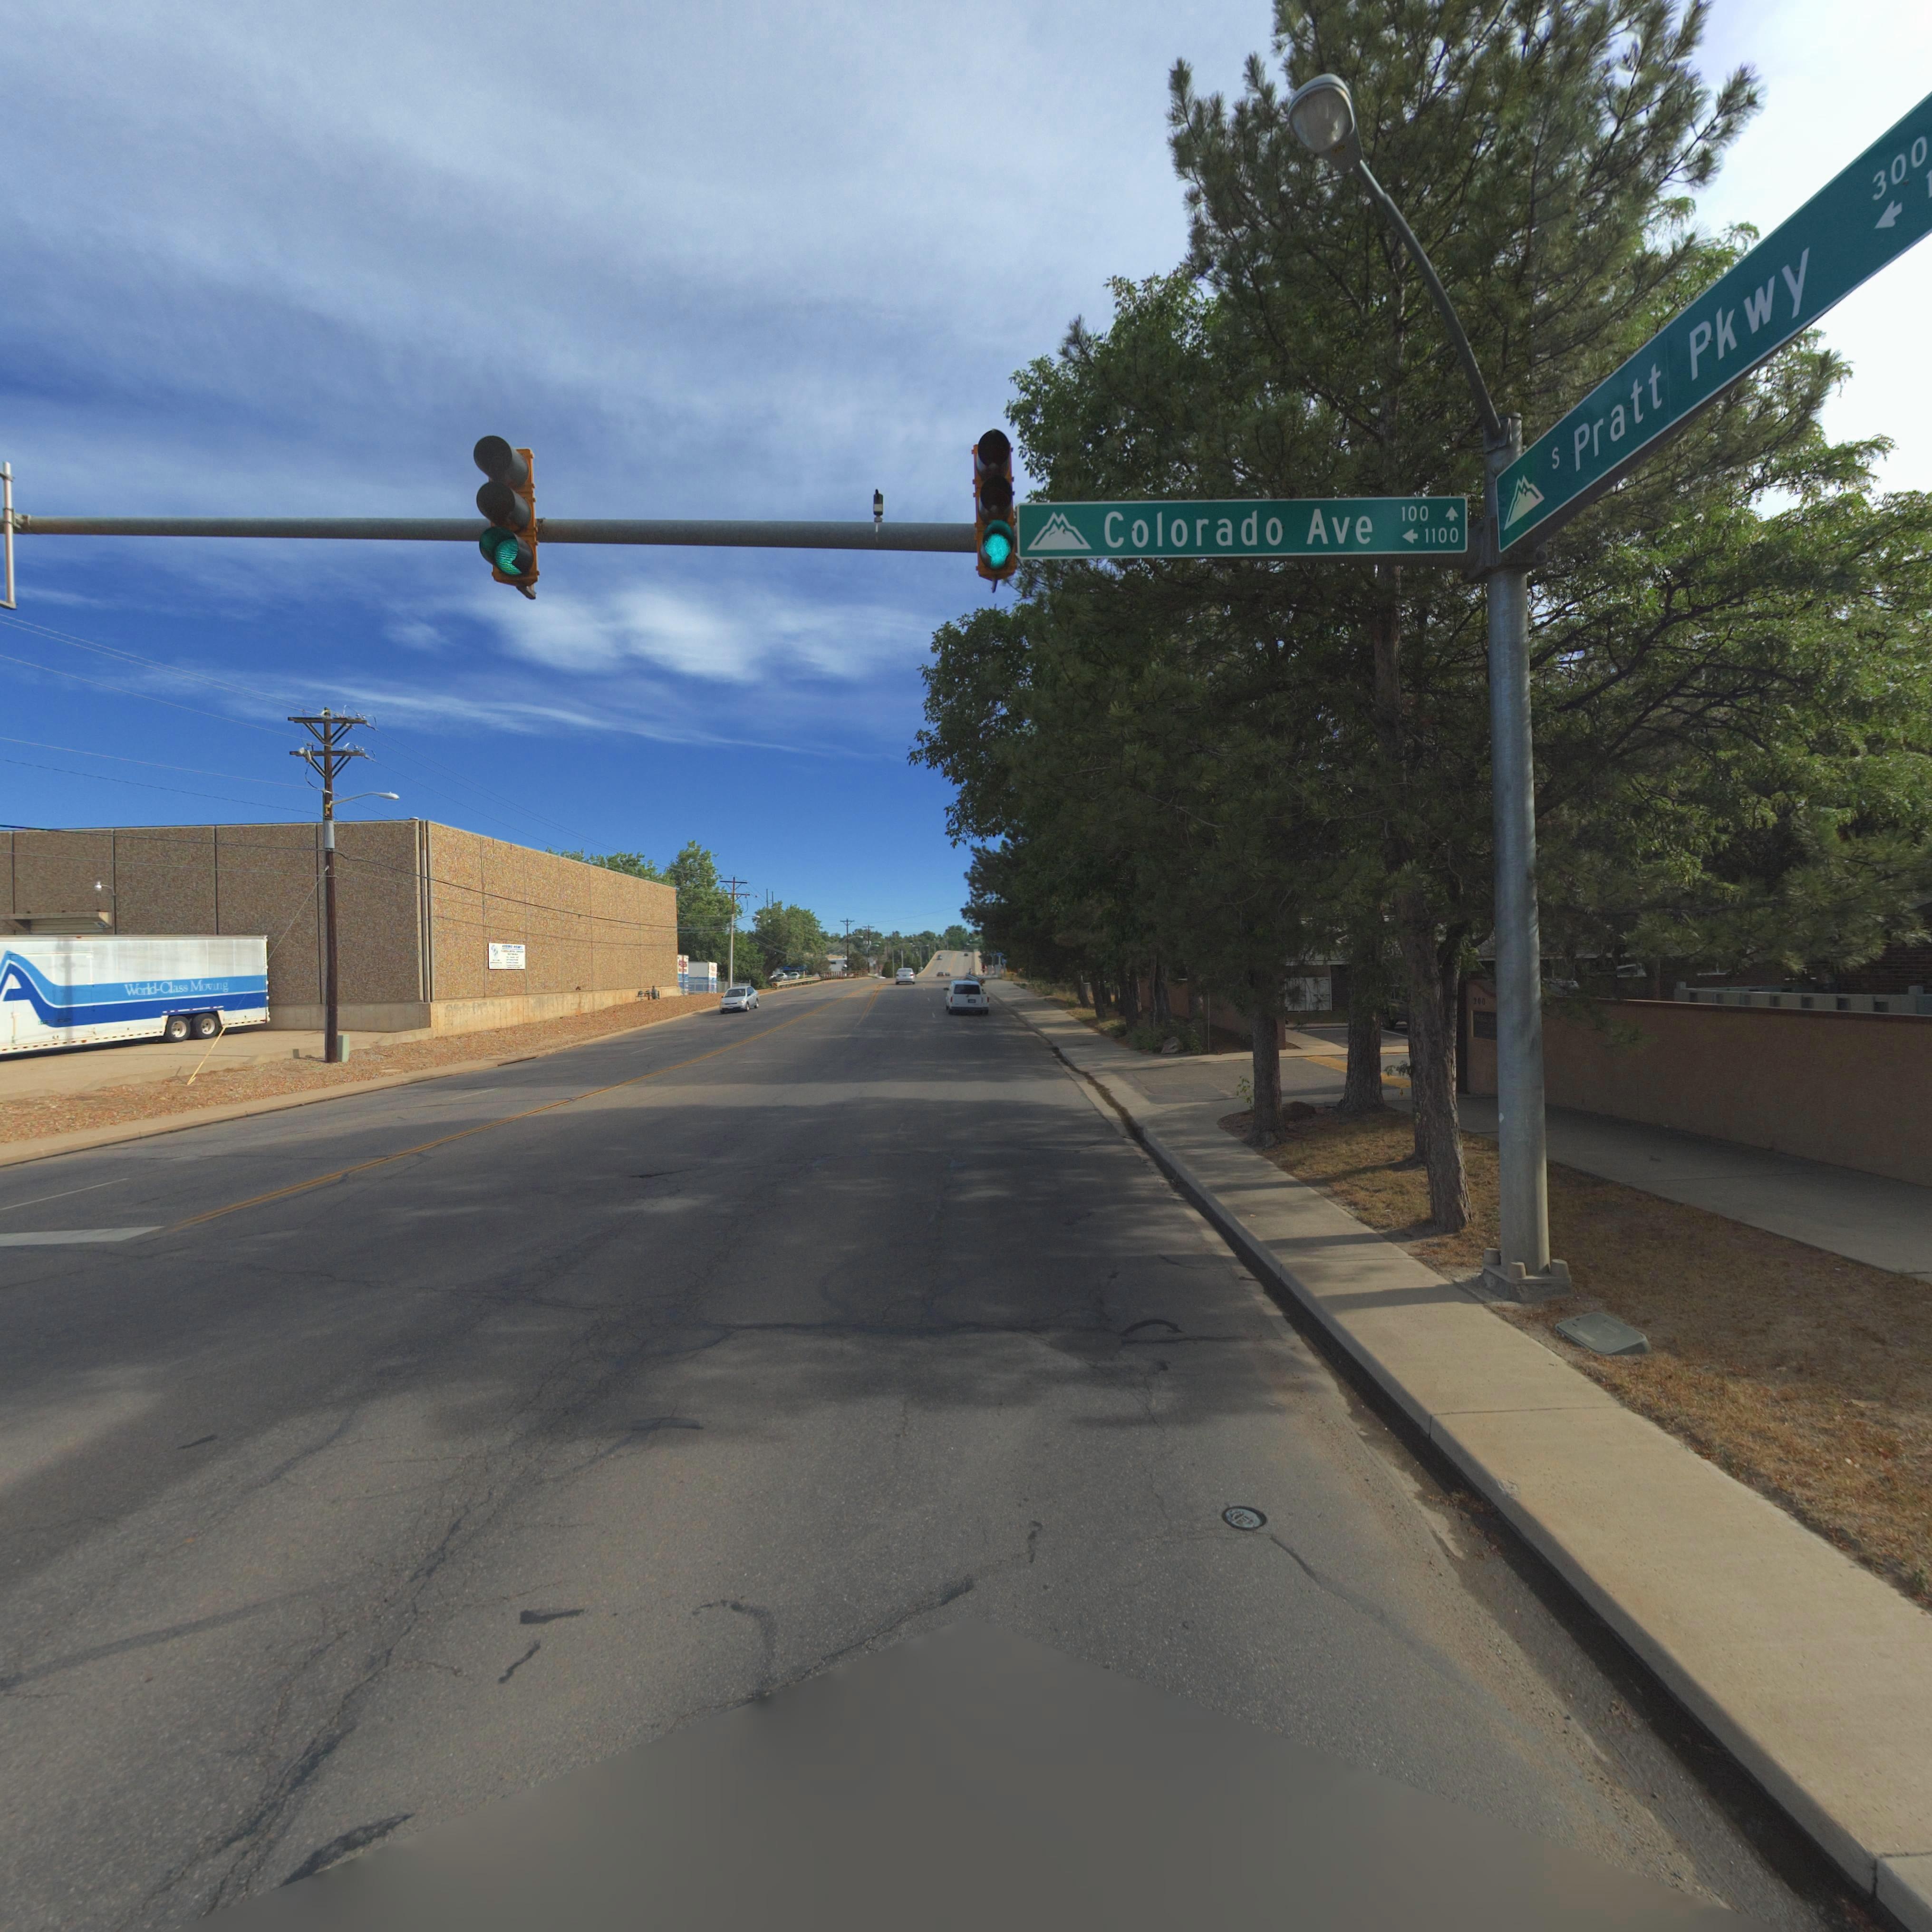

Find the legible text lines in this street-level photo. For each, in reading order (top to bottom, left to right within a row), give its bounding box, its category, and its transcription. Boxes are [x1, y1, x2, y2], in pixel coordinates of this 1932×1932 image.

[1869, 133, 1929, 203] StreetNumberRange: 300
[1549, 242, 1815, 474] StreetName: S Pratt Pkwy
[1101, 505, 1376, 550] StreetName: Colorado Ave
[1401, 505, 1429, 522] StreetNumberRange: 100
[1399, 526, 1460, 545] StreetNumberRange: <-1100
[1472, 997, 1486, 1005] StreetNumber: 200